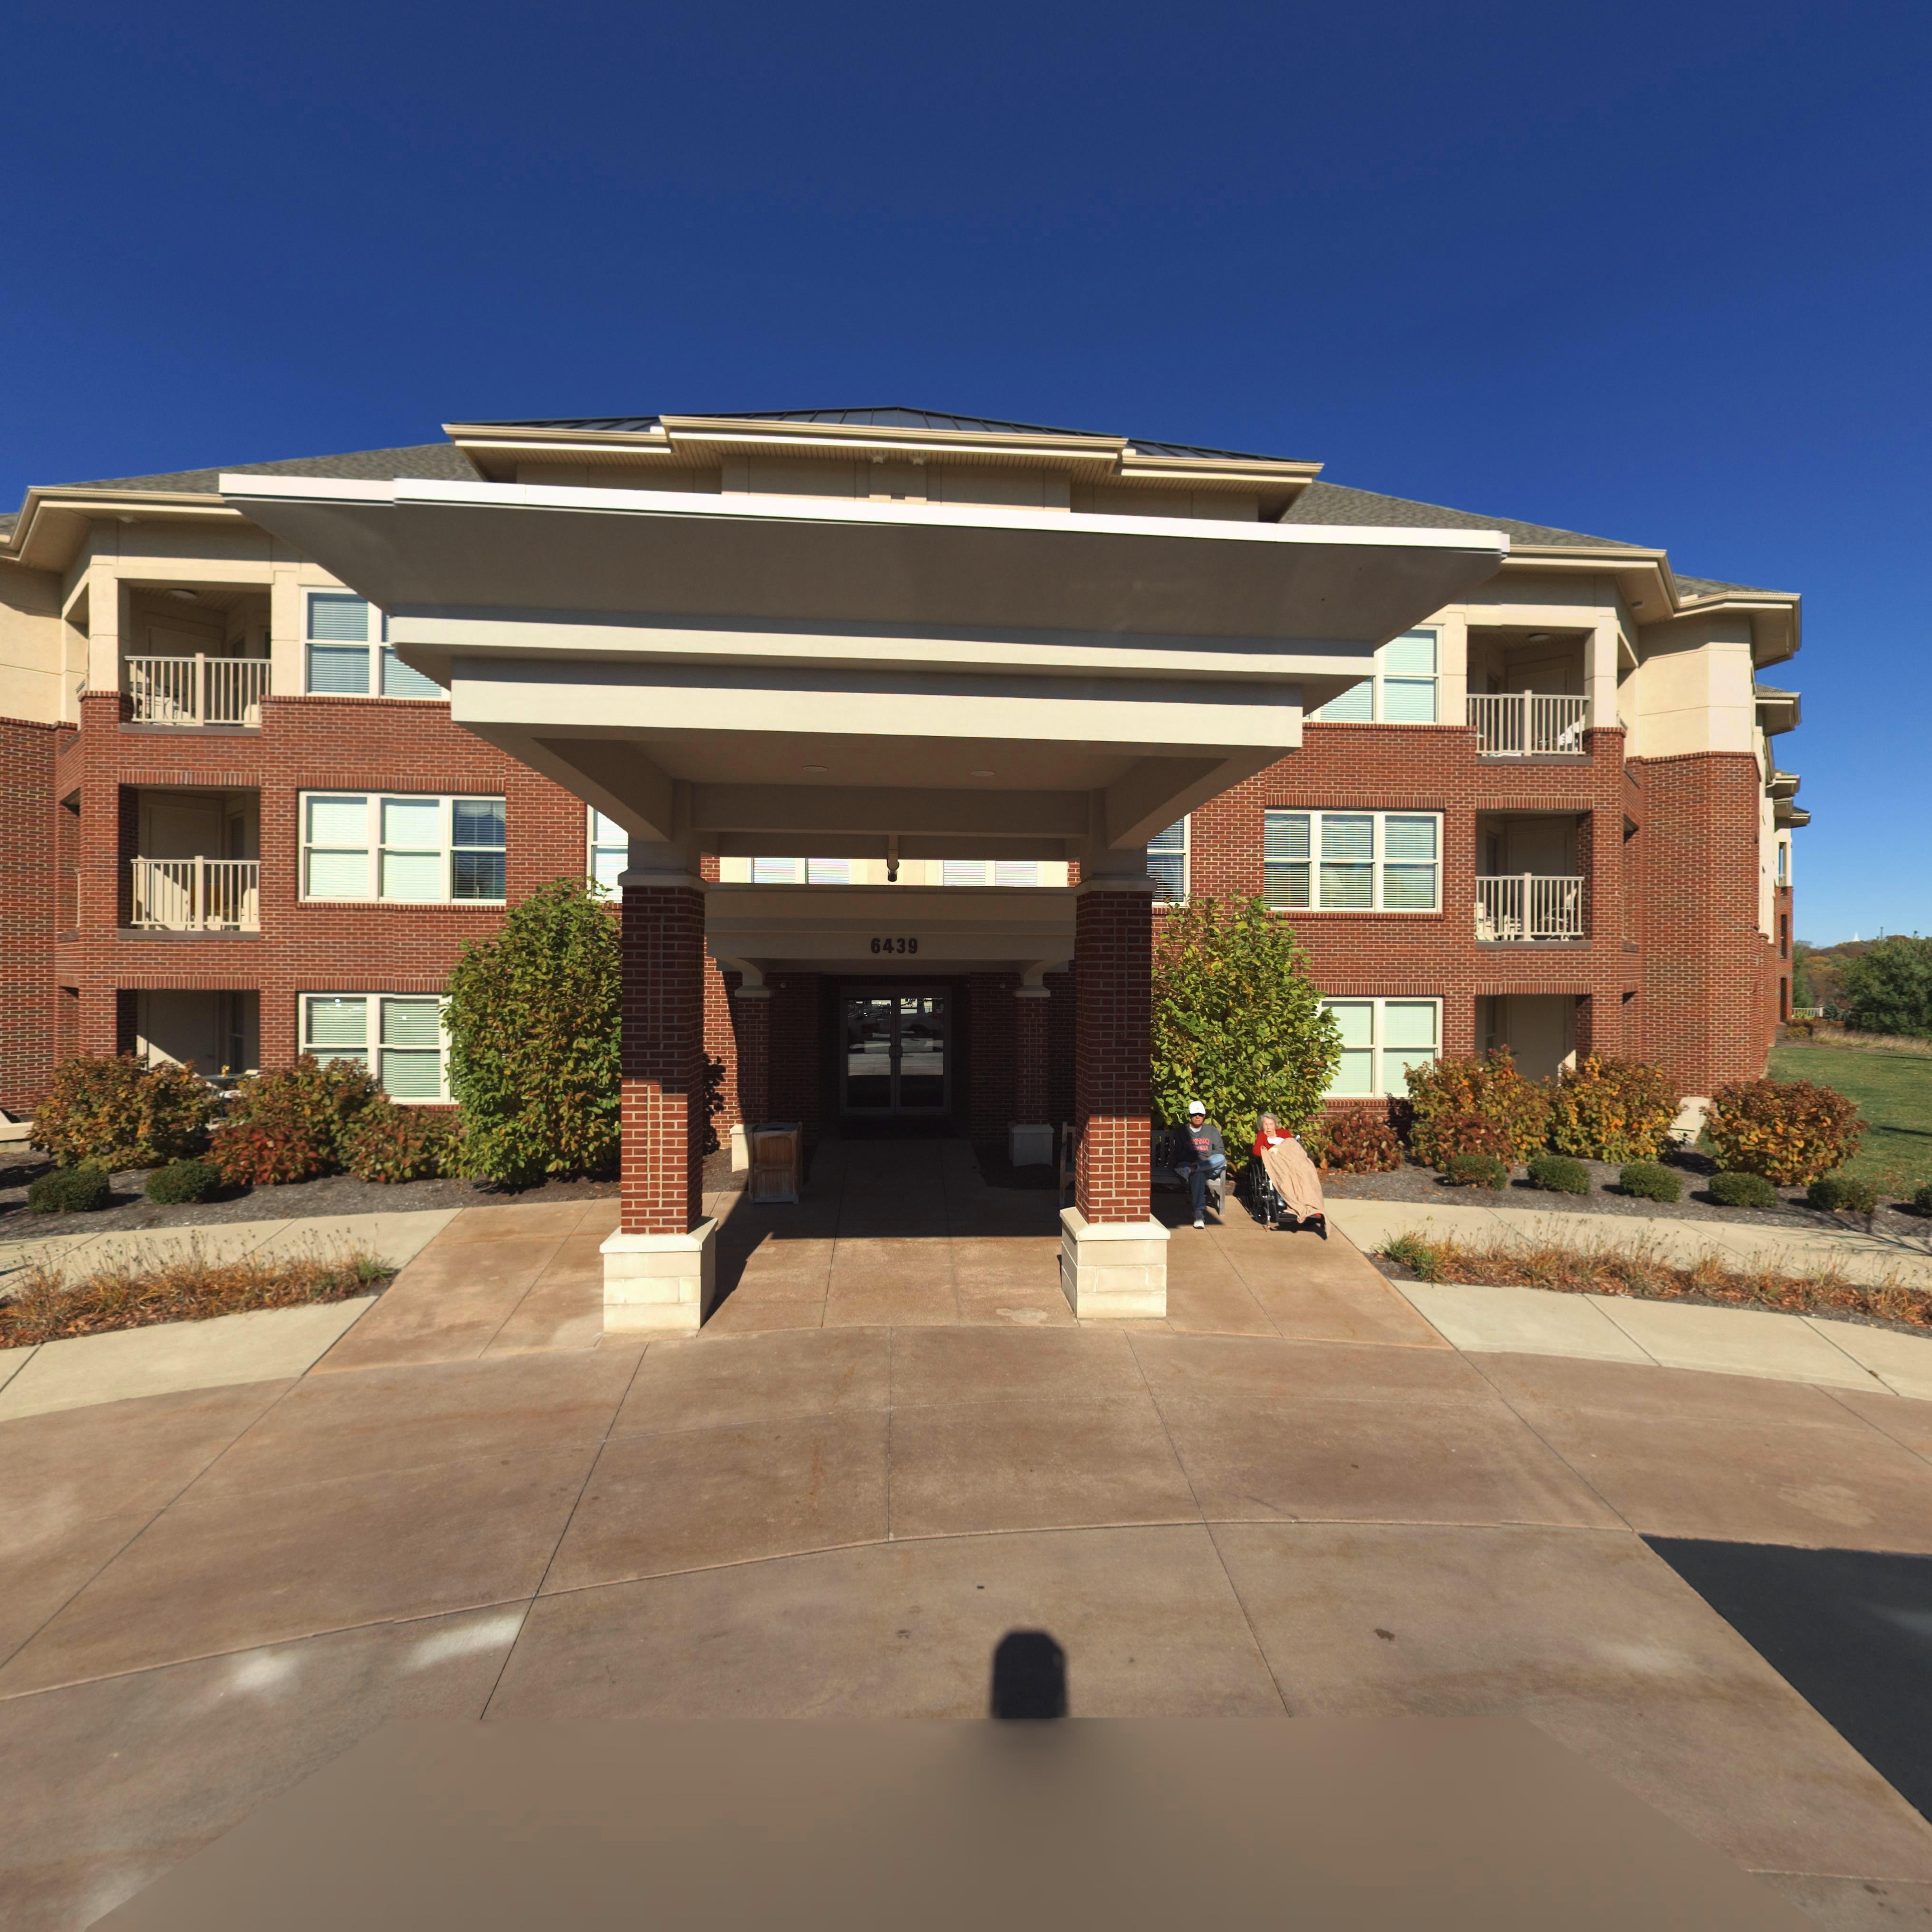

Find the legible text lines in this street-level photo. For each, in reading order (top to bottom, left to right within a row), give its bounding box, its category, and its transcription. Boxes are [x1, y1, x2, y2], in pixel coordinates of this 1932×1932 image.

[870, 937, 918, 954] StreetNumber: 6439